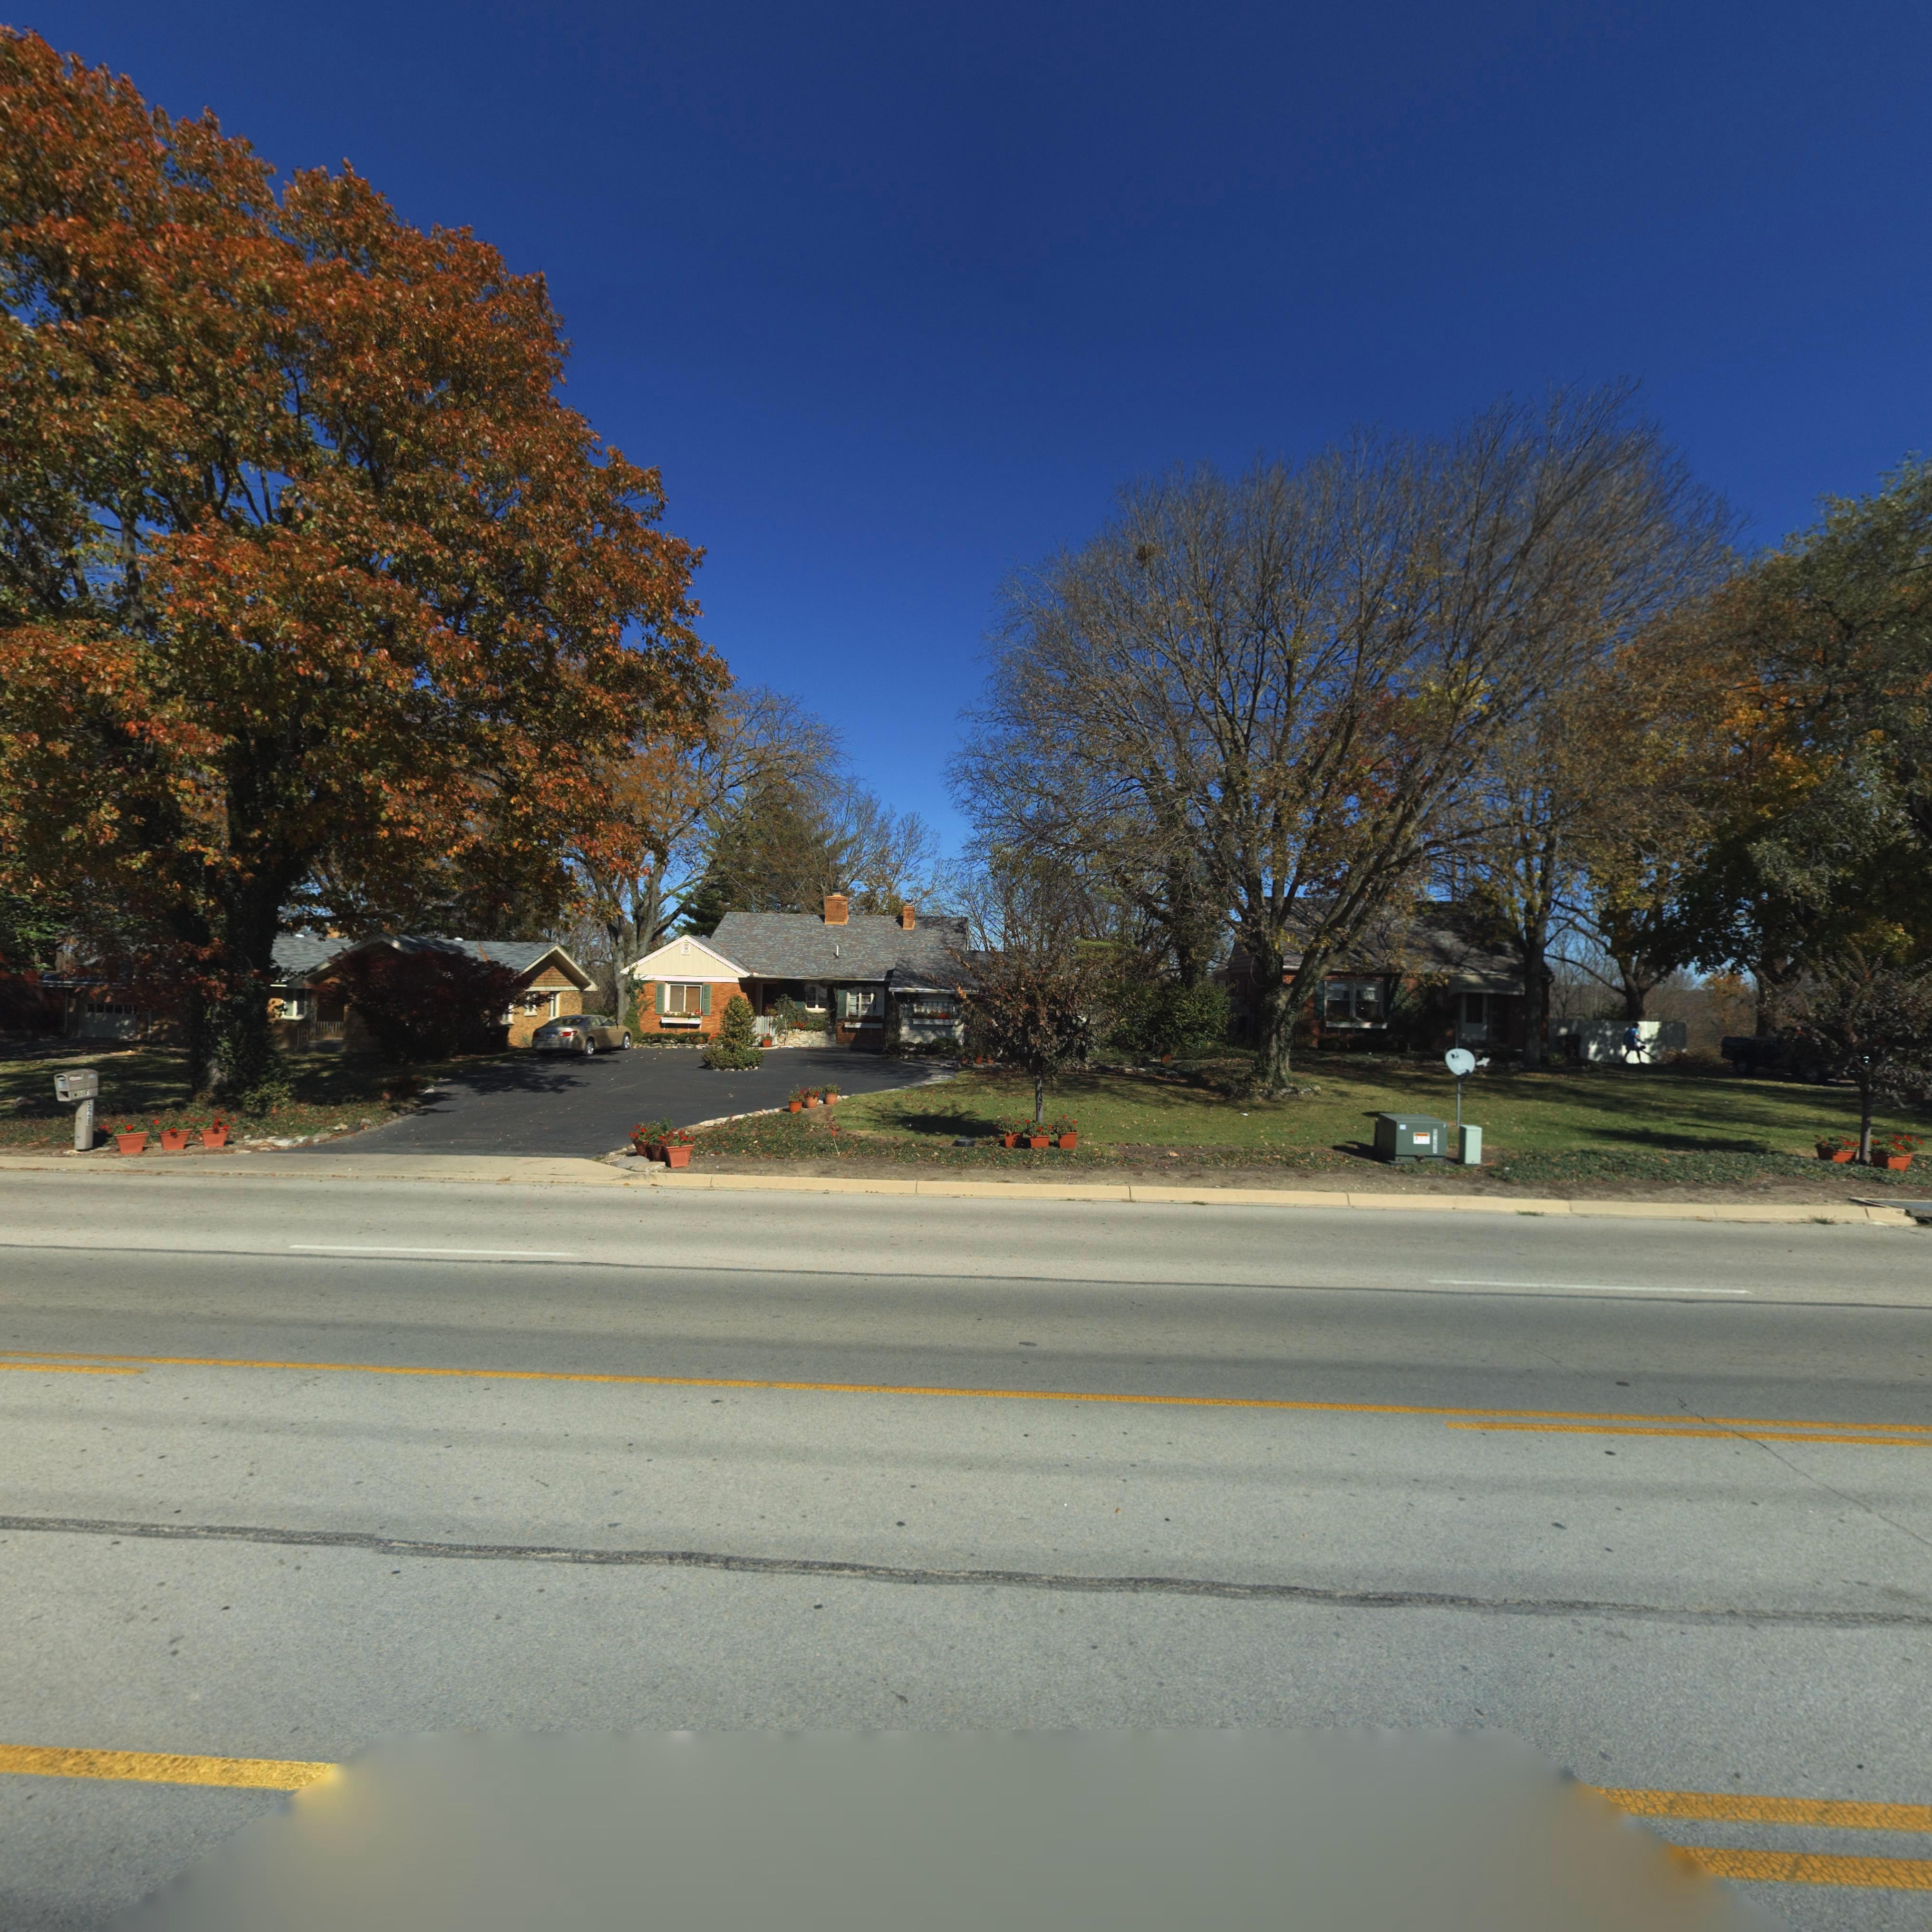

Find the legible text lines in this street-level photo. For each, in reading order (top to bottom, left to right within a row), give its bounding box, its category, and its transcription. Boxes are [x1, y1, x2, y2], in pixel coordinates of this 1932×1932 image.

[86, 1099, 93, 1126] StreetNumber: 528